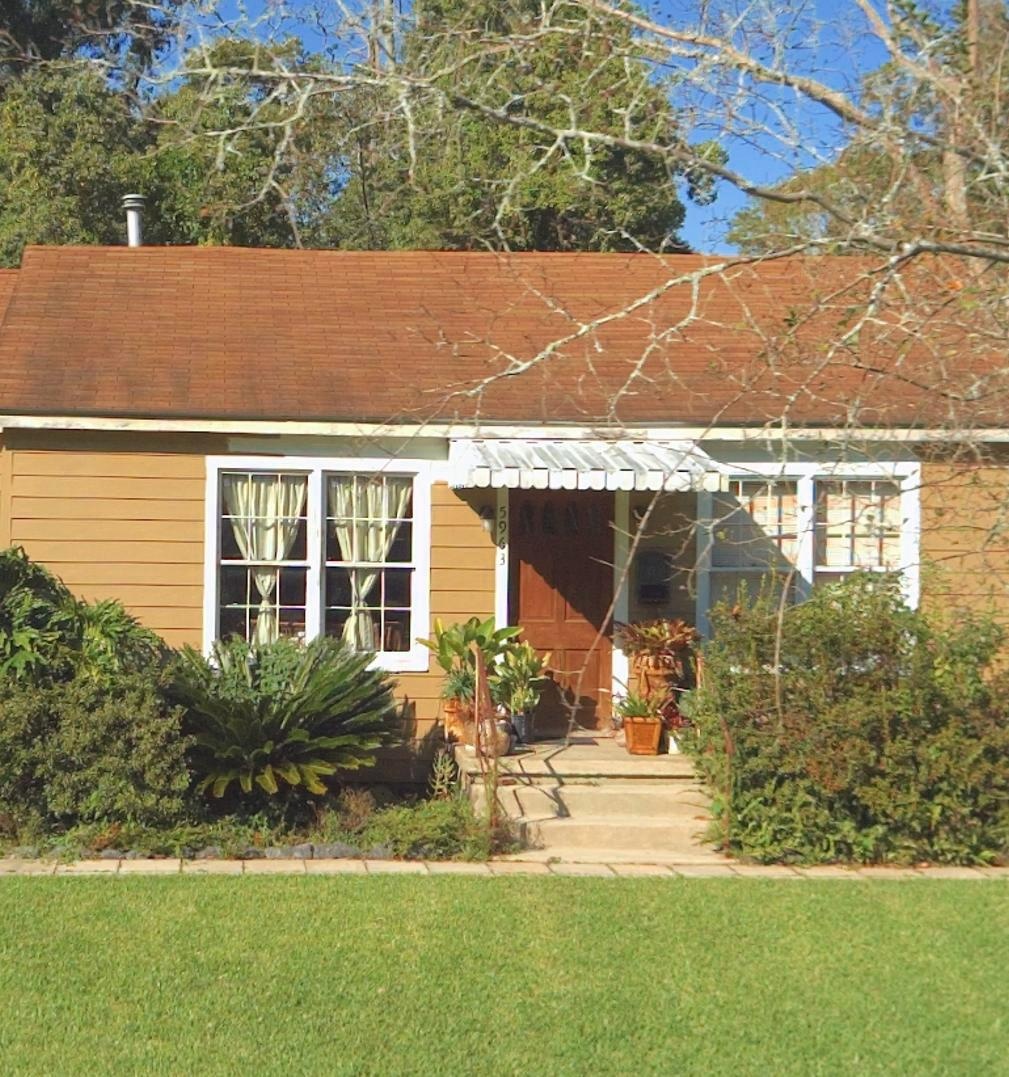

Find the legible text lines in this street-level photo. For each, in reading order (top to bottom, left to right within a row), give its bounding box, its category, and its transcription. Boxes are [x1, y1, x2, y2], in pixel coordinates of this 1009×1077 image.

[498, 504, 507, 567] StreetNumber: 5963